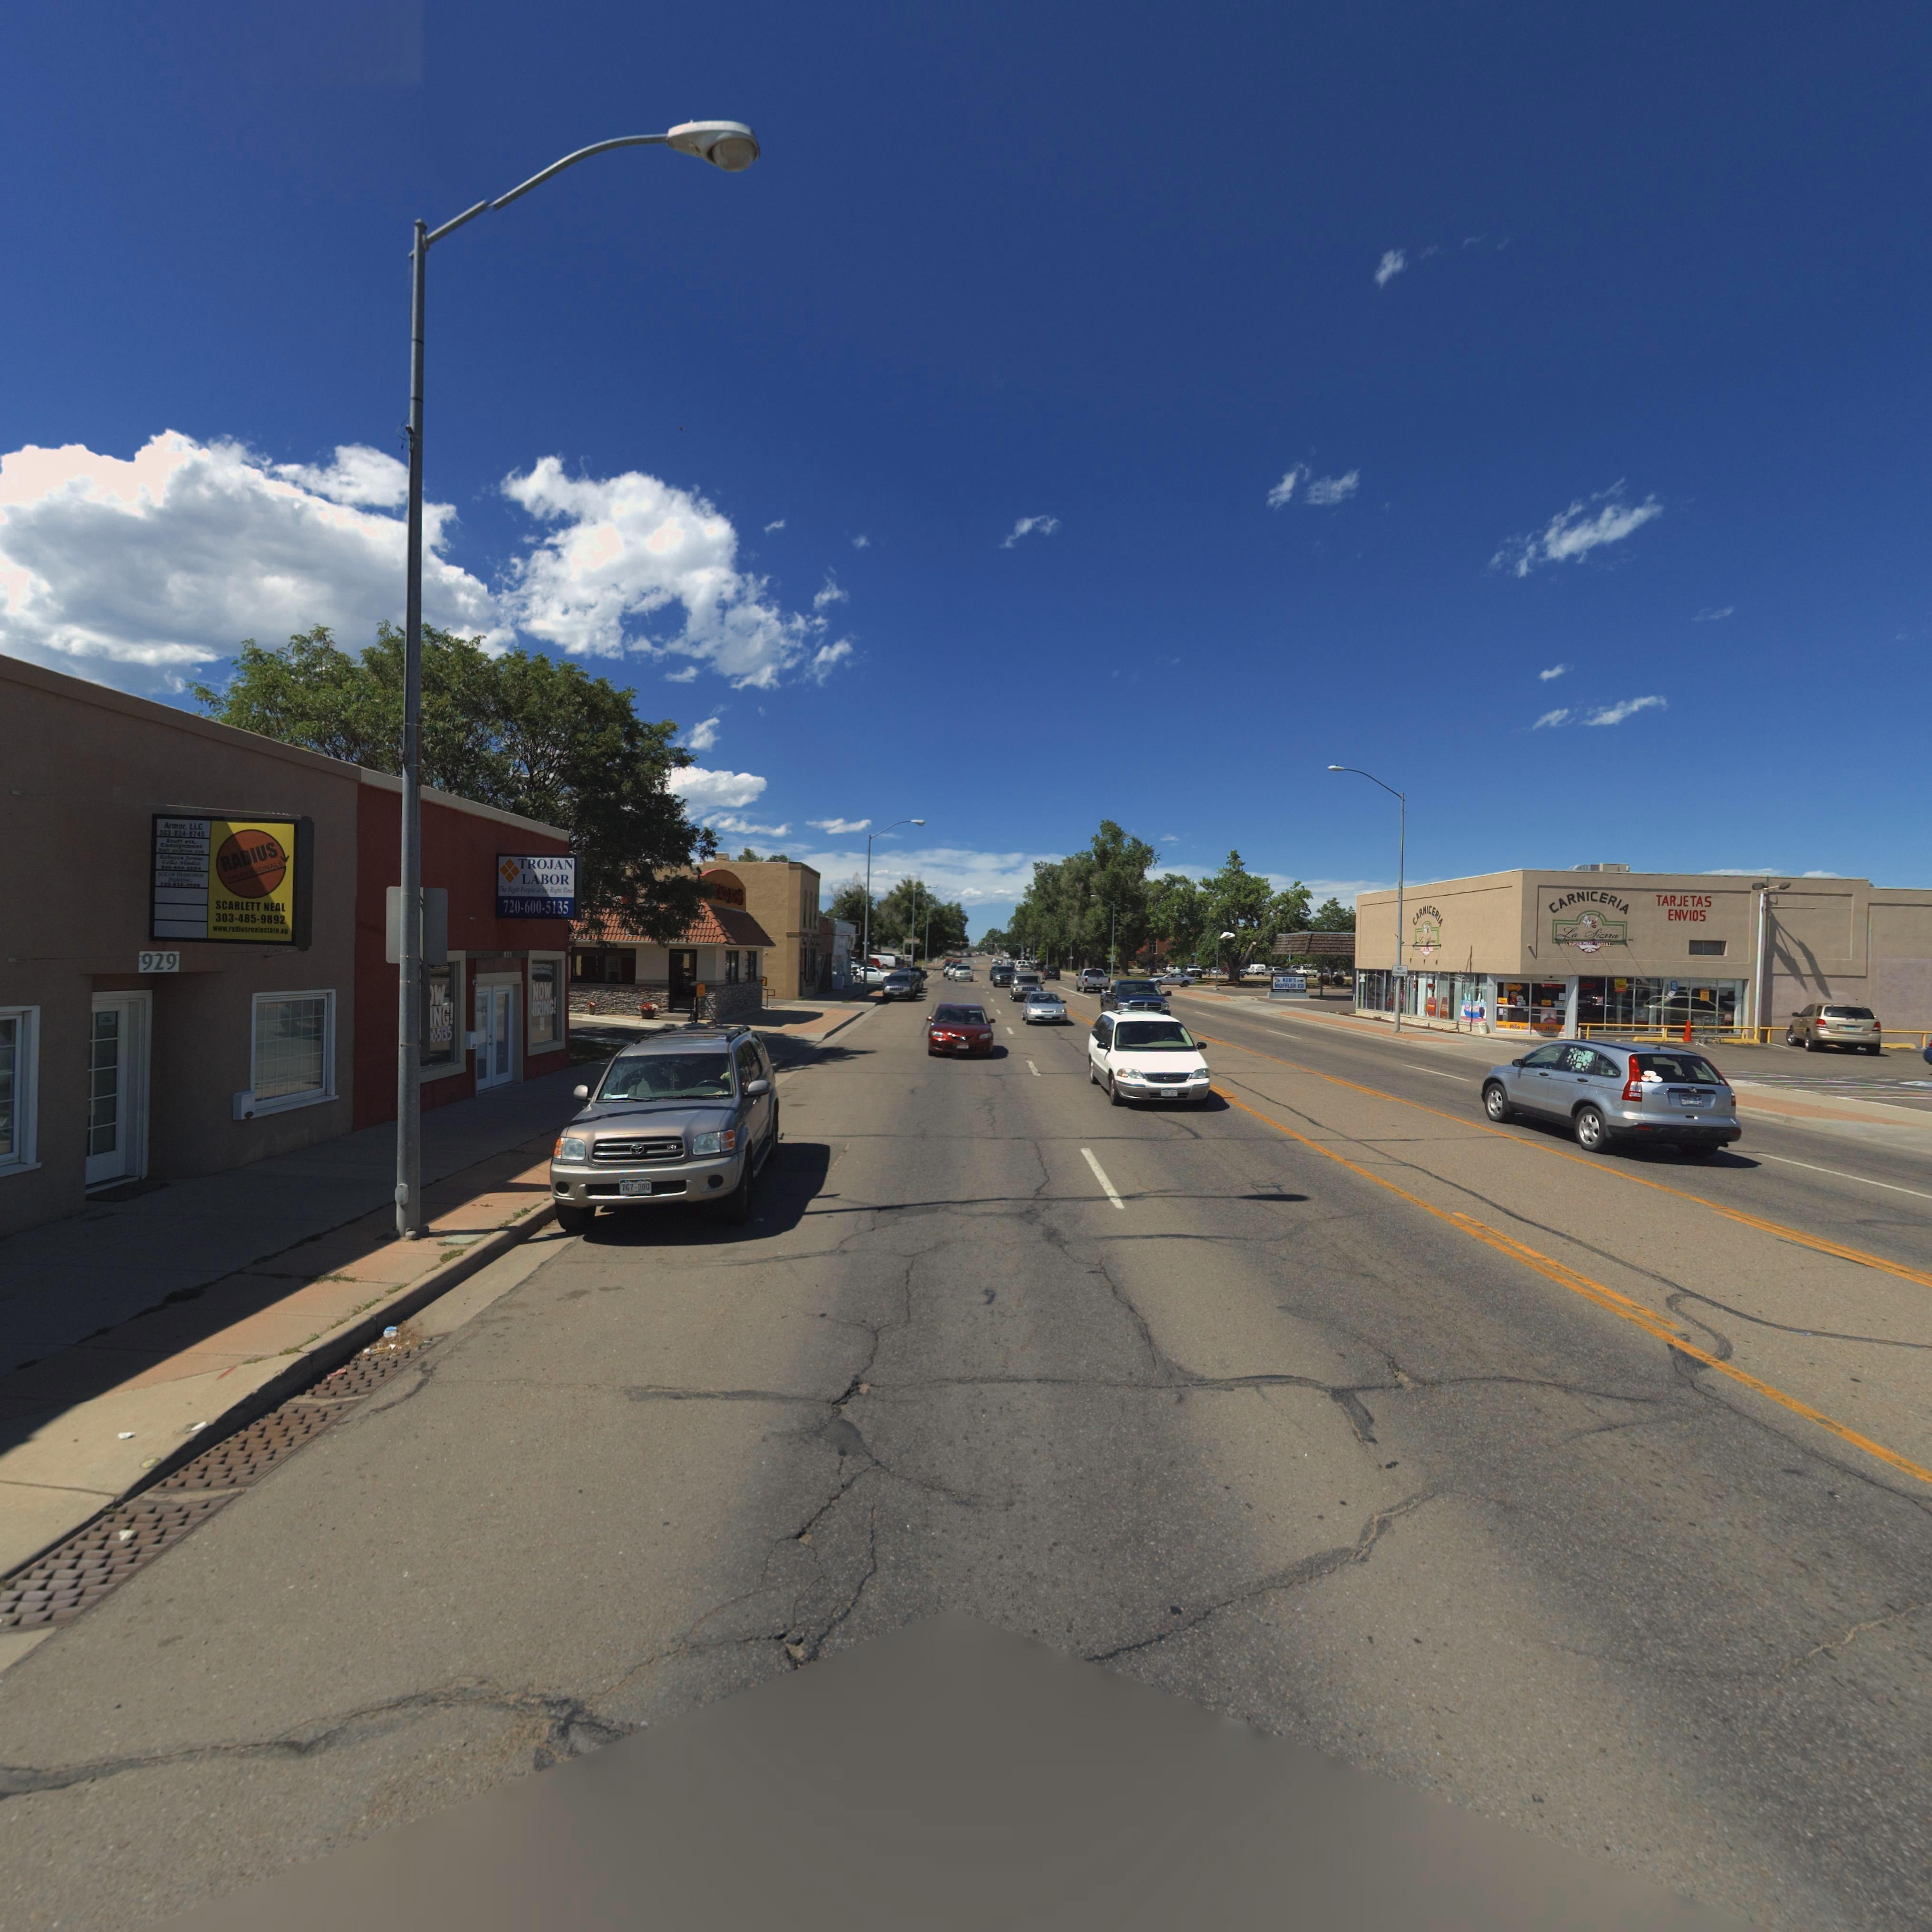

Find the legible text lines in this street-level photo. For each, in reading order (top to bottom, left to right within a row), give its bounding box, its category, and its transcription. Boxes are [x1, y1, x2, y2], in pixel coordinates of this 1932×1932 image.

[164, 822, 203, 830] BusinessName: Armor, LLC
[160, 842, 203, 849] BusinessName: Con**gn**nt
[166, 838, 197, 844] BusinessName: Stuff etc.
[161, 859, 201, 866] BusinessName: Cello Studio
[160, 854, 203, 860] BusinessName: R*becca Jo***
[220, 842, 278, 873] BusinessName: RADIUS
[518, 858, 573, 870] BusinessName: TROJAN
[227, 860, 283, 881] BusinessName: ******SIONALS
[521, 873, 569, 885] BusinessName: LABOR
[715, 883, 744, 905] BusinessName: TACO JOH***
[1548, 891, 1629, 915] BusinessName: CARNICERIA
[1412, 905, 1443, 927] BusinessName: CARNICERIA
[1556, 927, 1620, 939] BusinessName: La Sierra
[1417, 936, 1436, 944] BusinessName: La S*****
[503, 951, 512, 958] StreetNumber: 931
[142, 953, 177, 970] StreetNumber: 929
[1275, 983, 1304, 988] BusinessName: MUFFLER CO
[1283, 977, 1296, 982] BusinessName: KEN'S